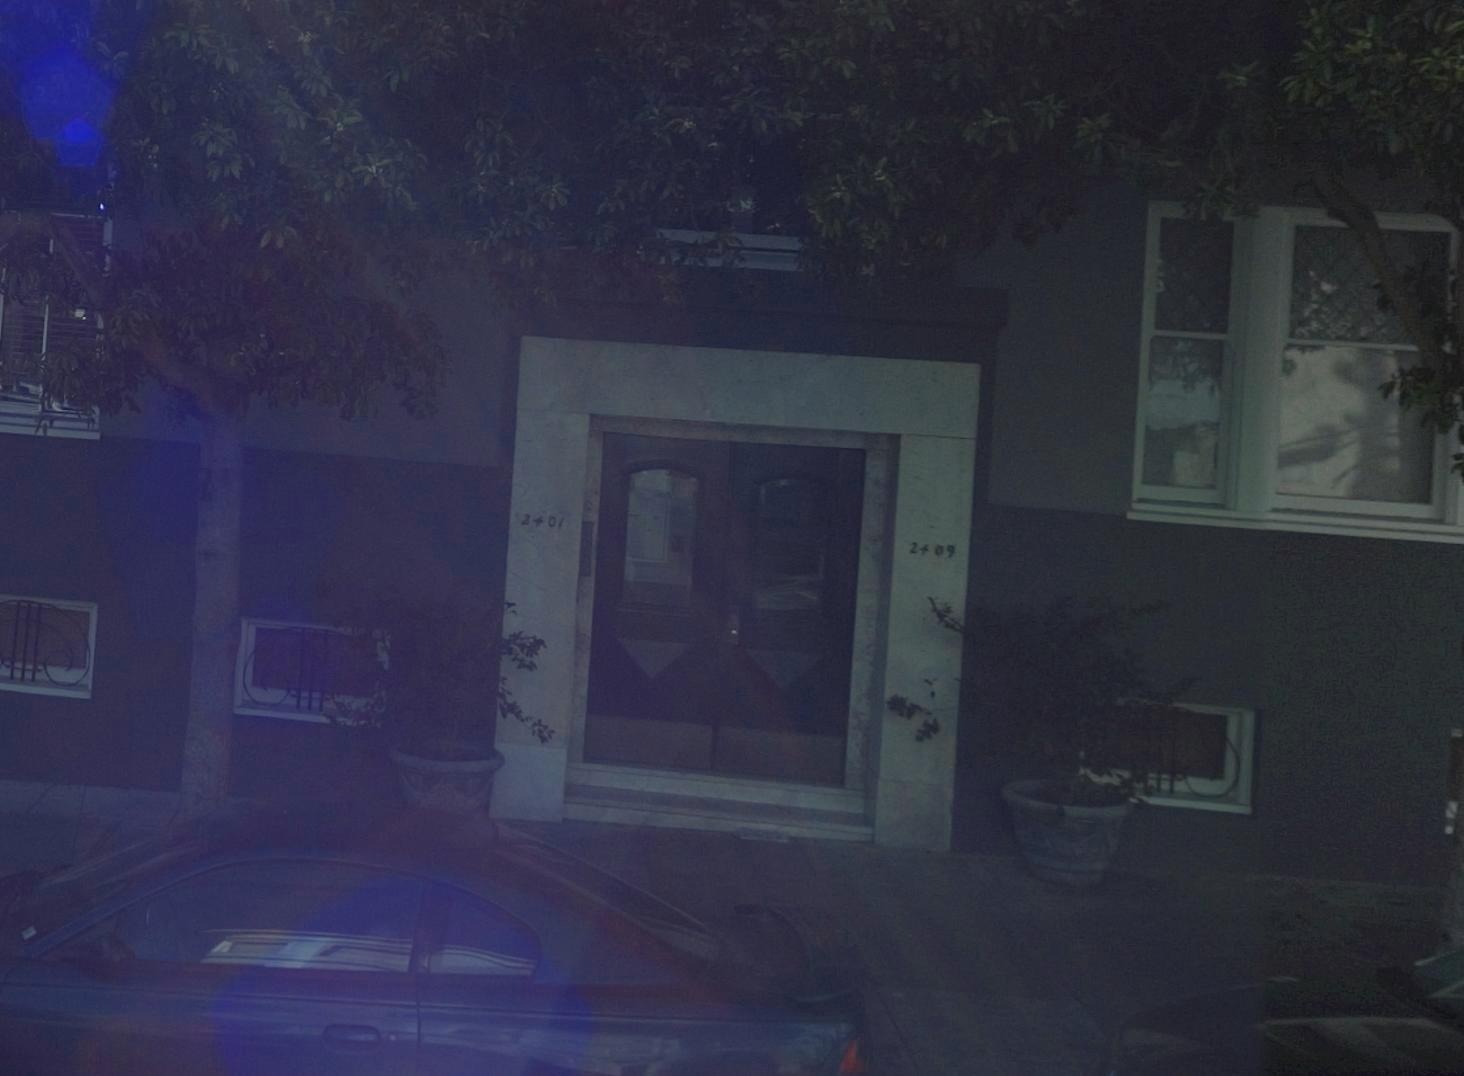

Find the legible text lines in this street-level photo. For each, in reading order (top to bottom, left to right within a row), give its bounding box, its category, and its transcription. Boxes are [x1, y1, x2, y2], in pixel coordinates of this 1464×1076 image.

[517, 511, 569, 532] StreetNumber: 2401
[905, 539, 959, 560] StreetNumber: 2409